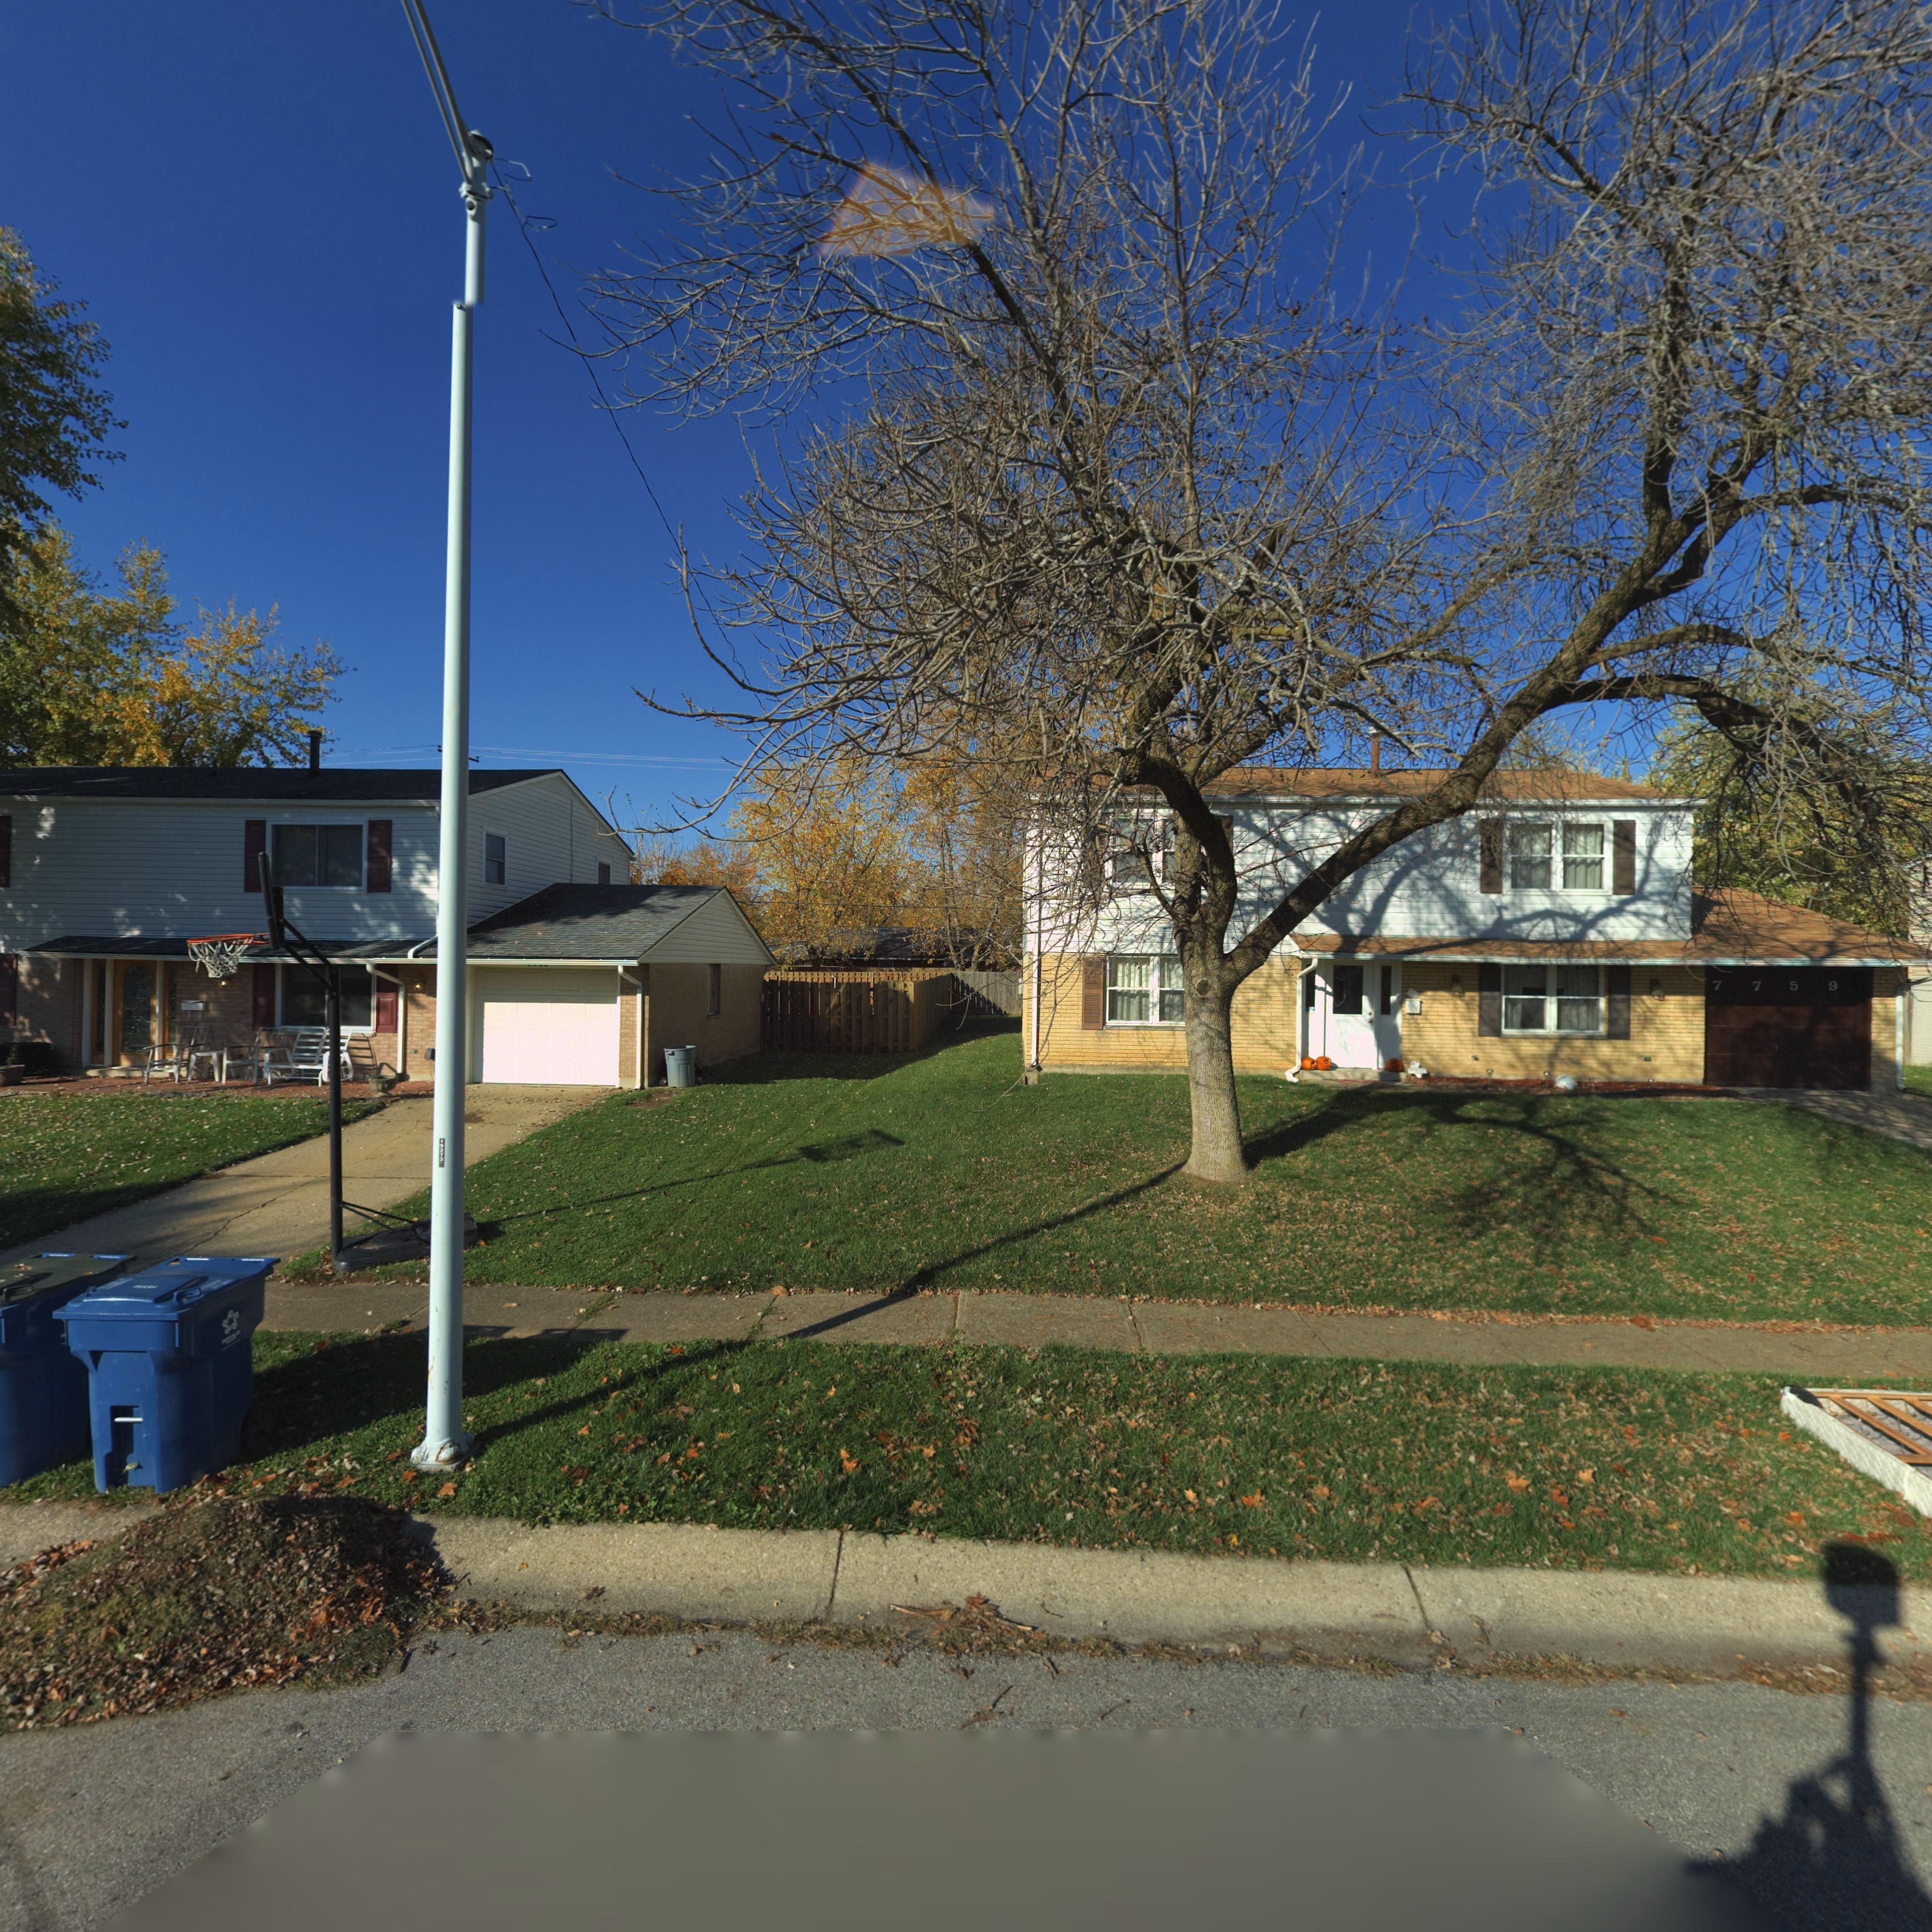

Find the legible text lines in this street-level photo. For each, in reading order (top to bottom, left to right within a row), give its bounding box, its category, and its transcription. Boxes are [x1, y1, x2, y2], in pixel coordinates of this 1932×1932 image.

[1712, 979, 1840, 992] StreetNumber: 7759